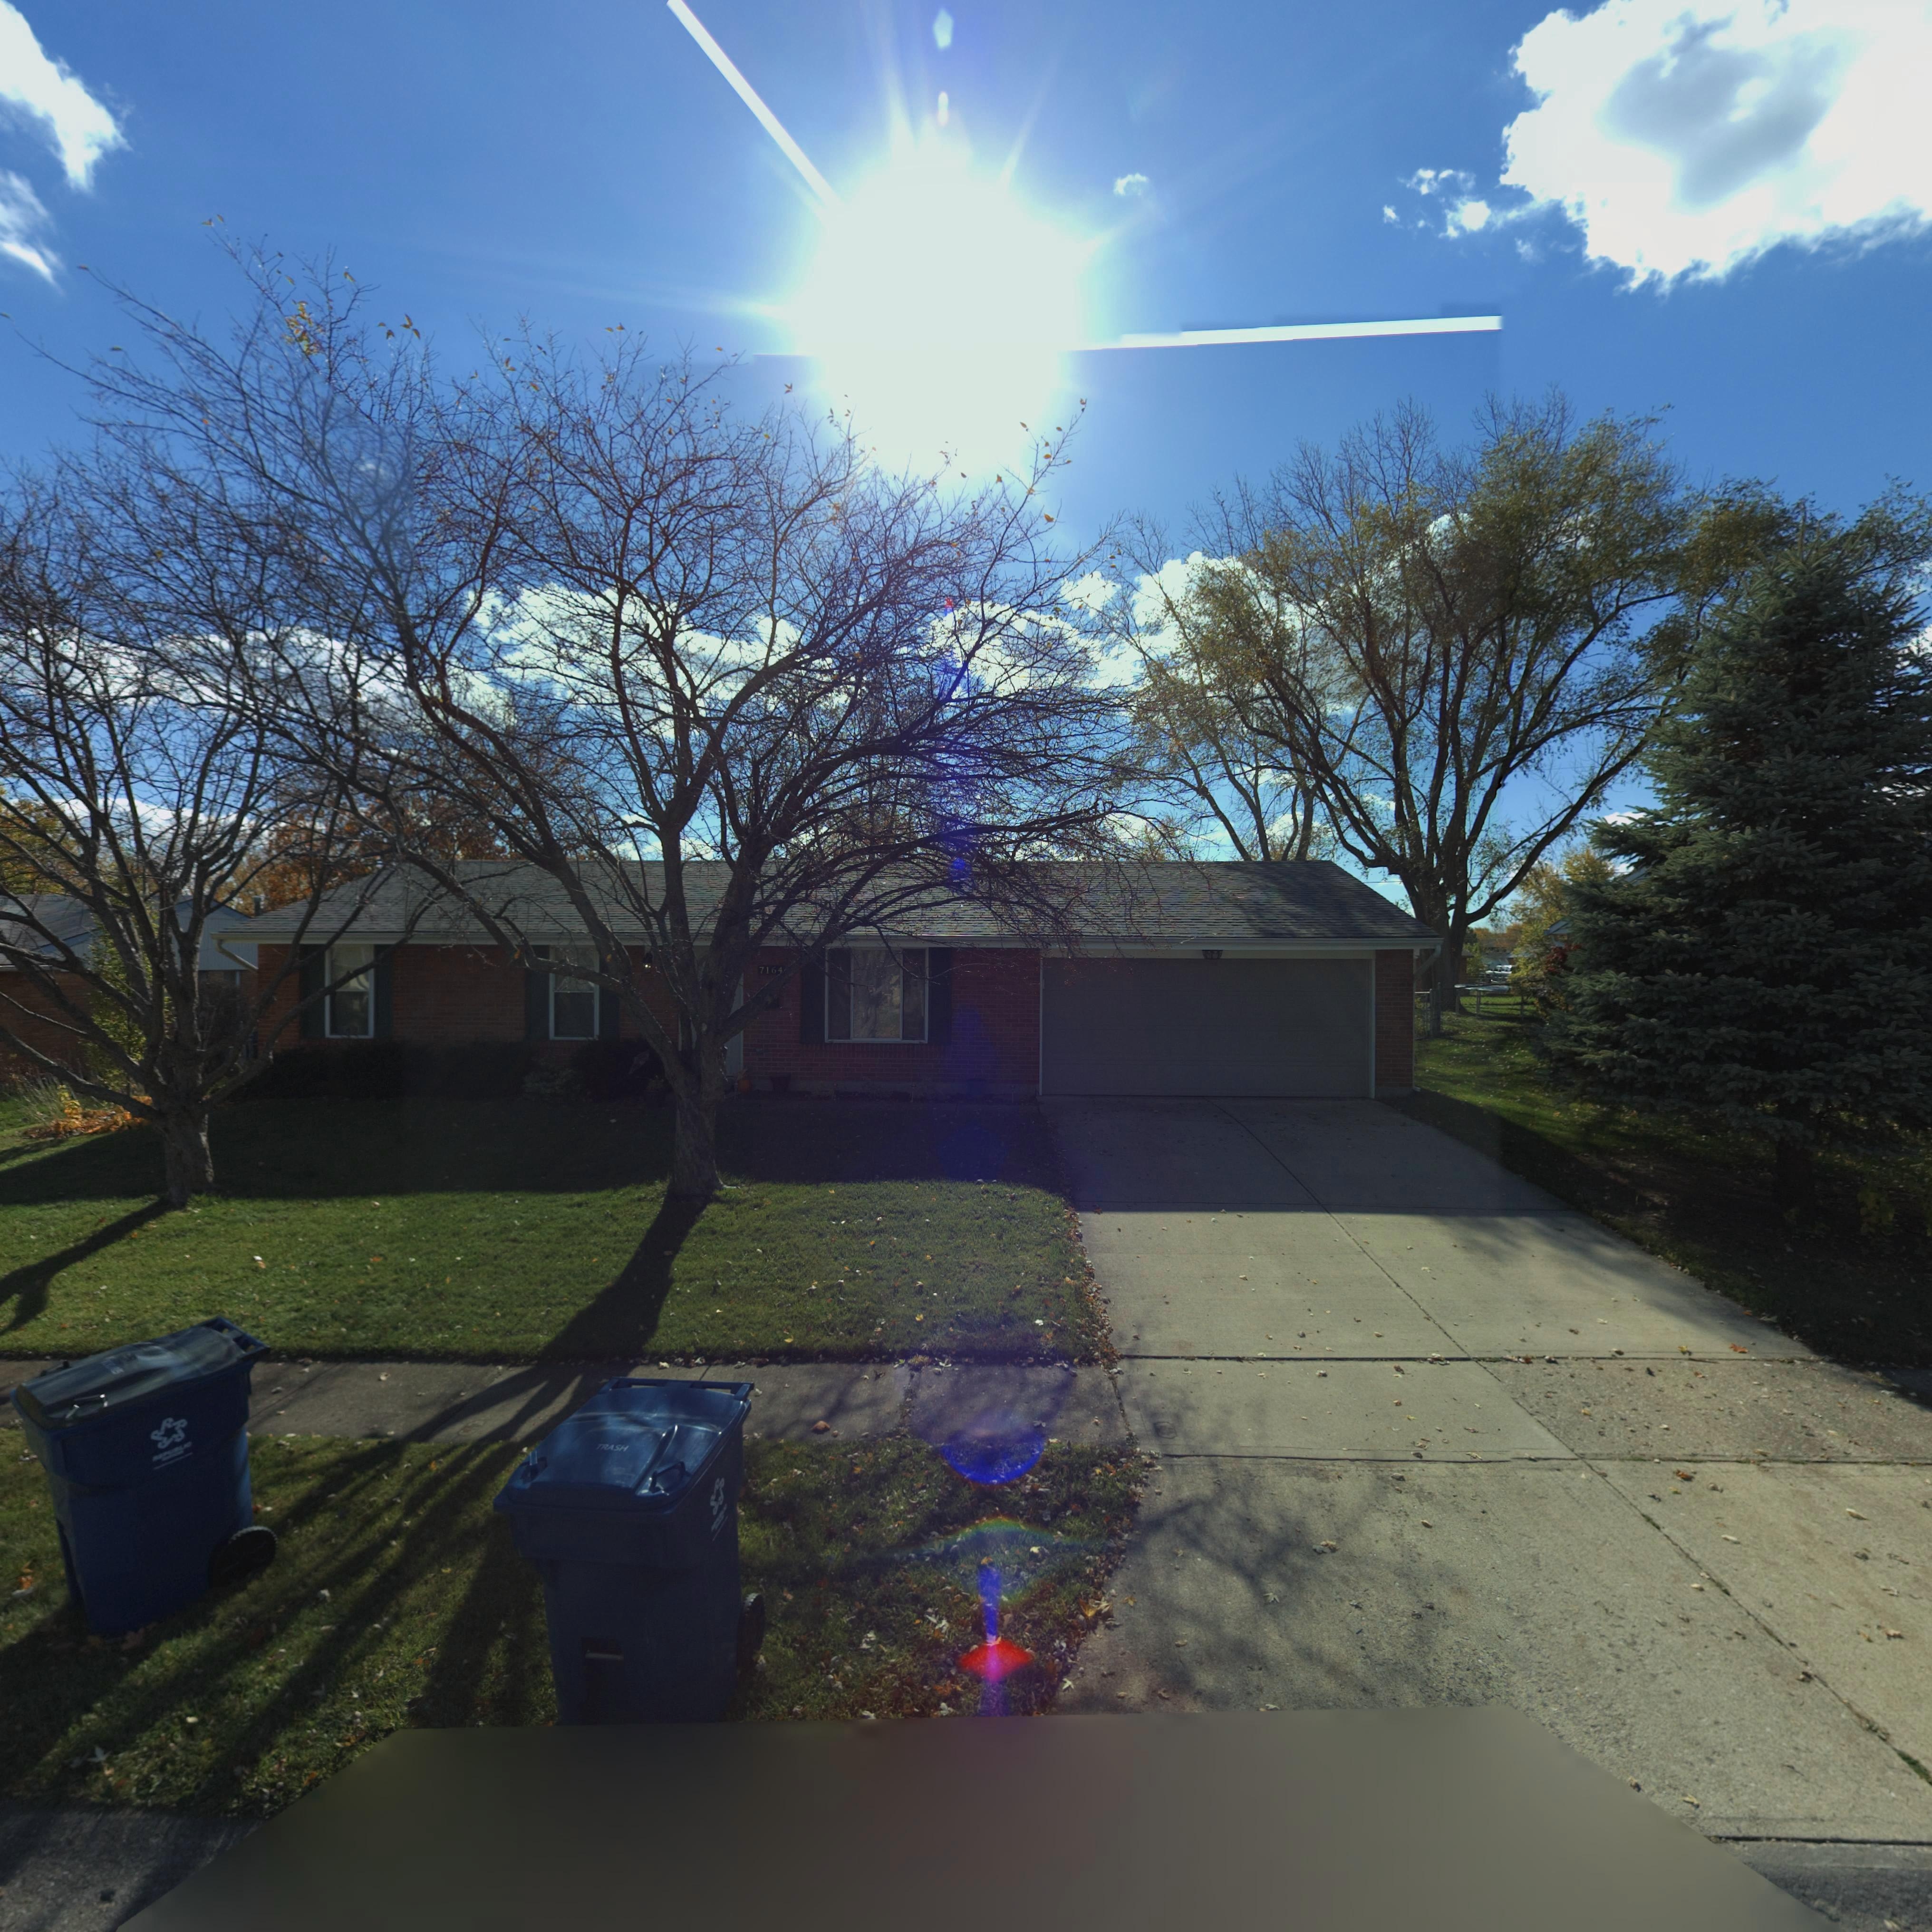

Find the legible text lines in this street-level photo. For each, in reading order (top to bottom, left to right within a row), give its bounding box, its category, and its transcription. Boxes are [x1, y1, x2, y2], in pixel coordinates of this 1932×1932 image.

[758, 966, 784, 975] StreetNumber: 7164